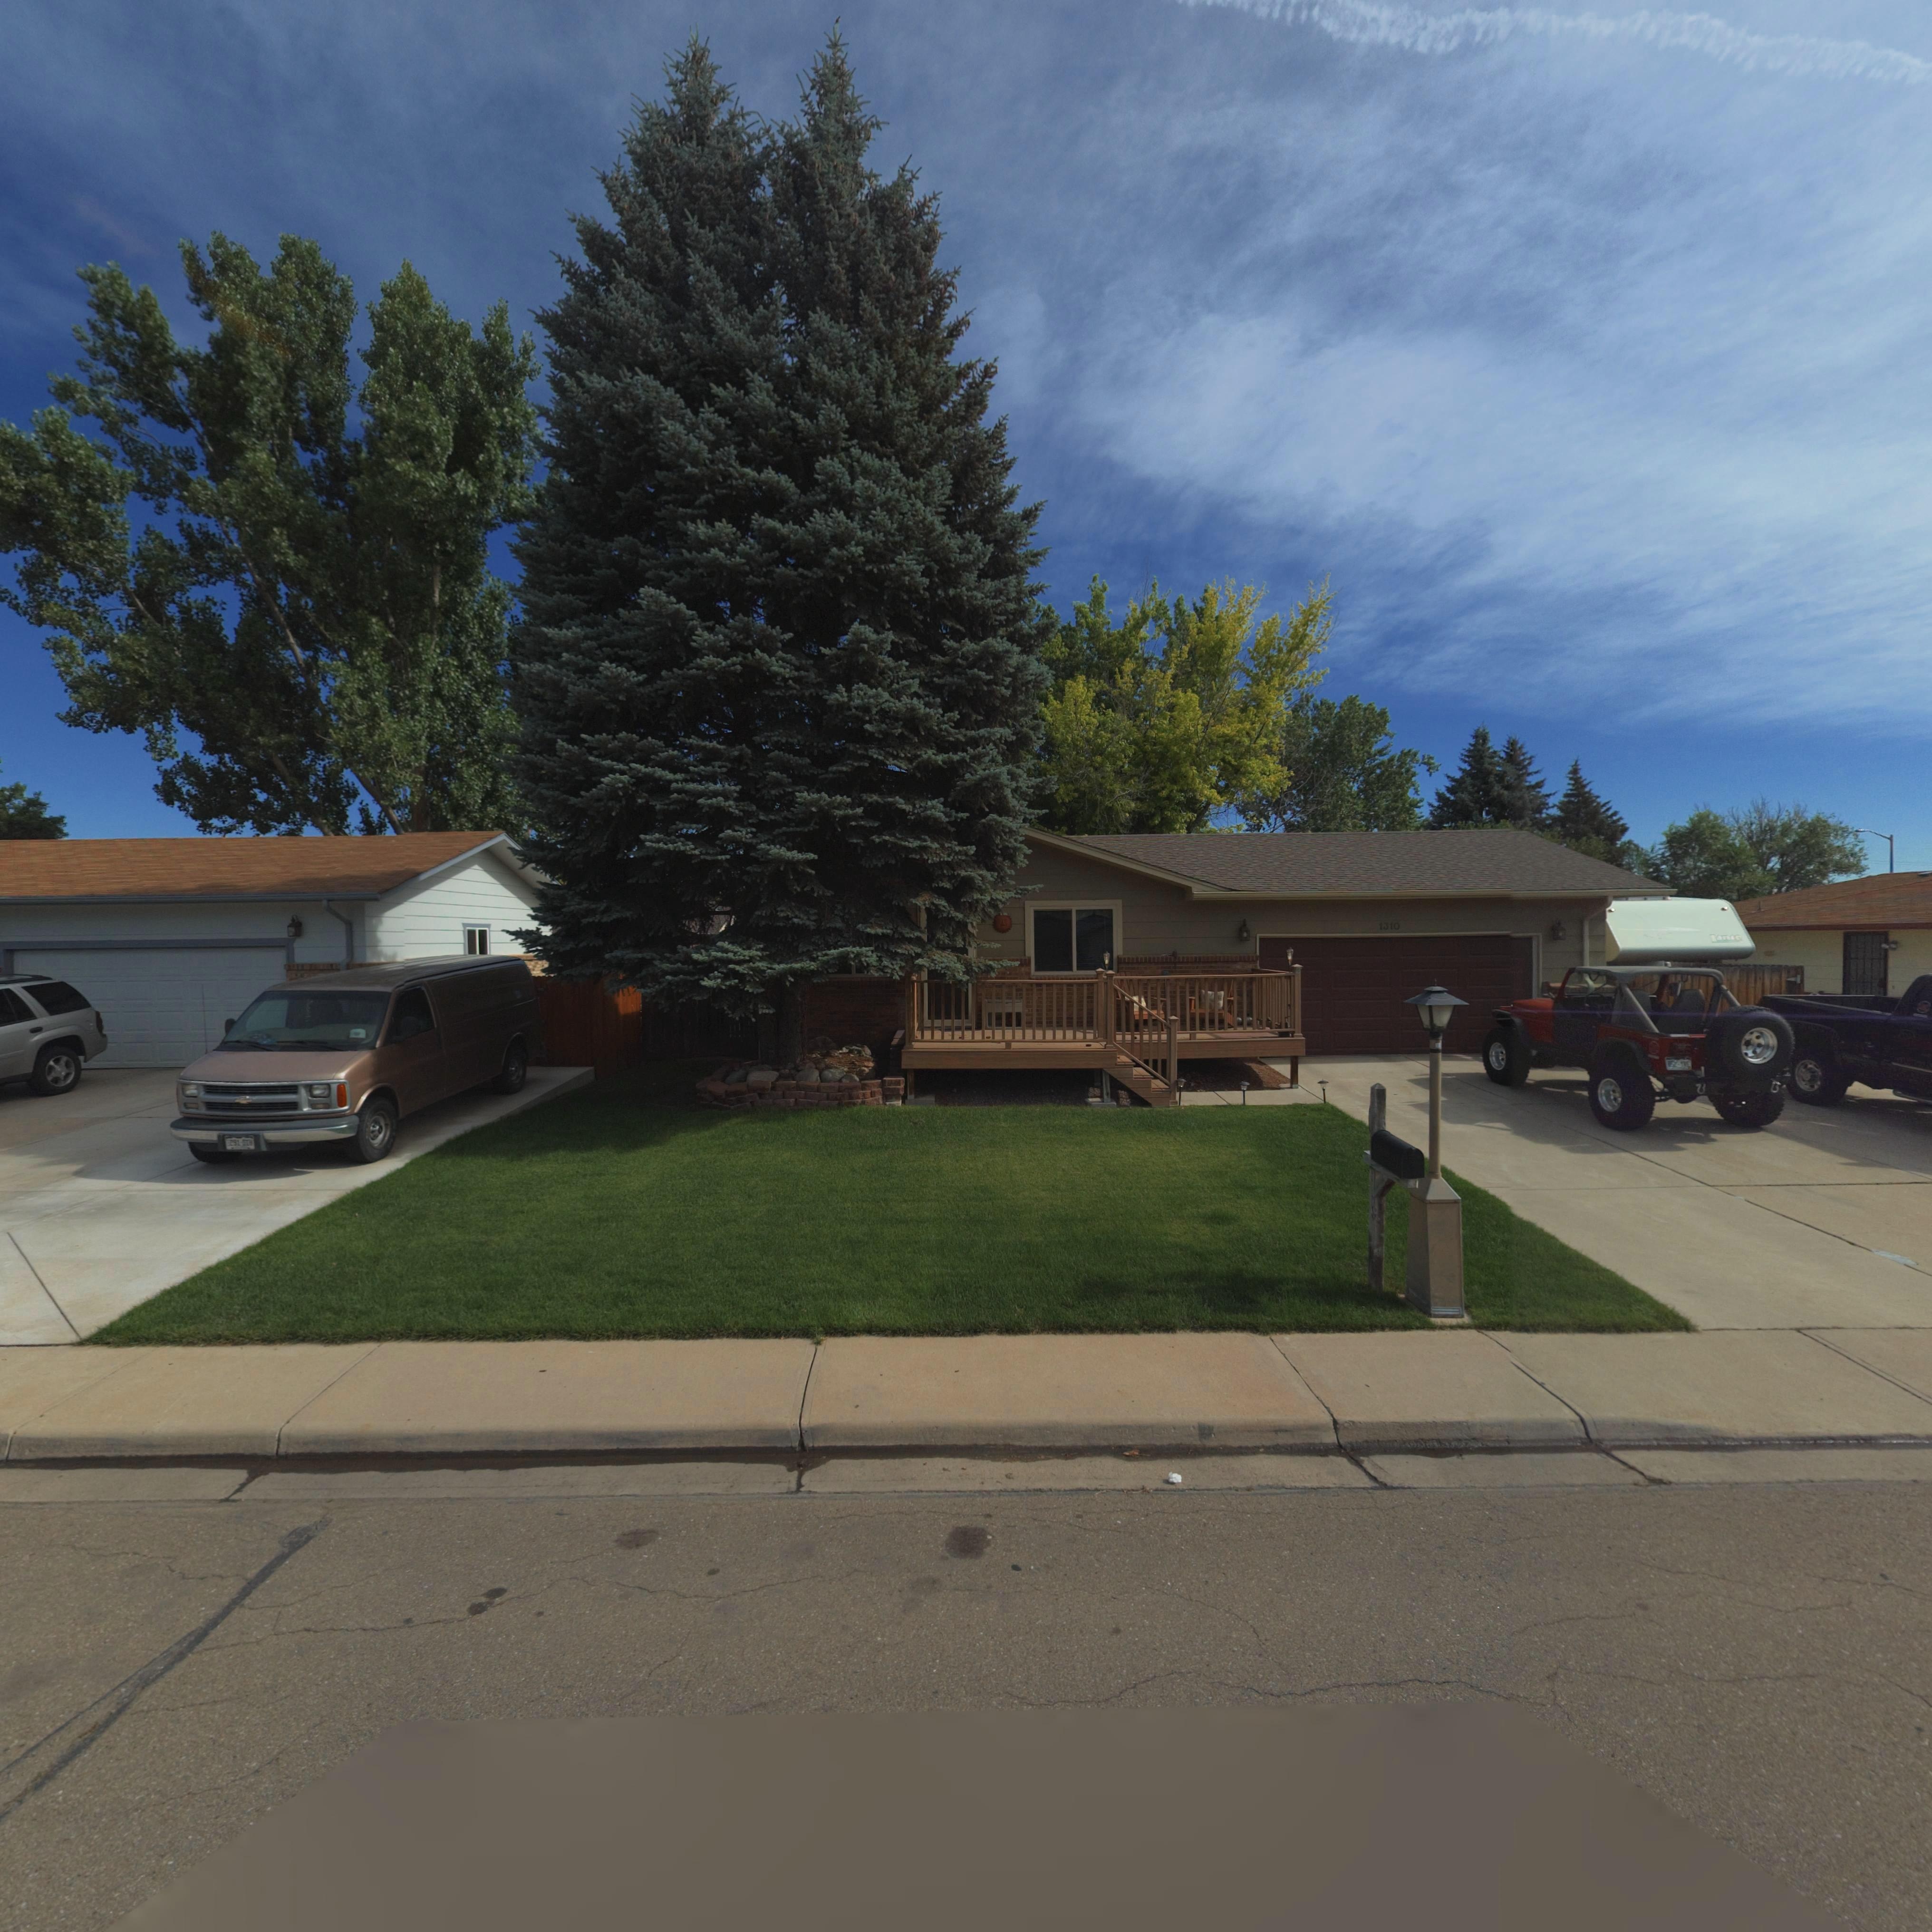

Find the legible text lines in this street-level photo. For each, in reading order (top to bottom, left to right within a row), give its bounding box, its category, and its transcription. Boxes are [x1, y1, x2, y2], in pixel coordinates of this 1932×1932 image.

[1378, 922, 1401, 930] StreetNumber: 1310